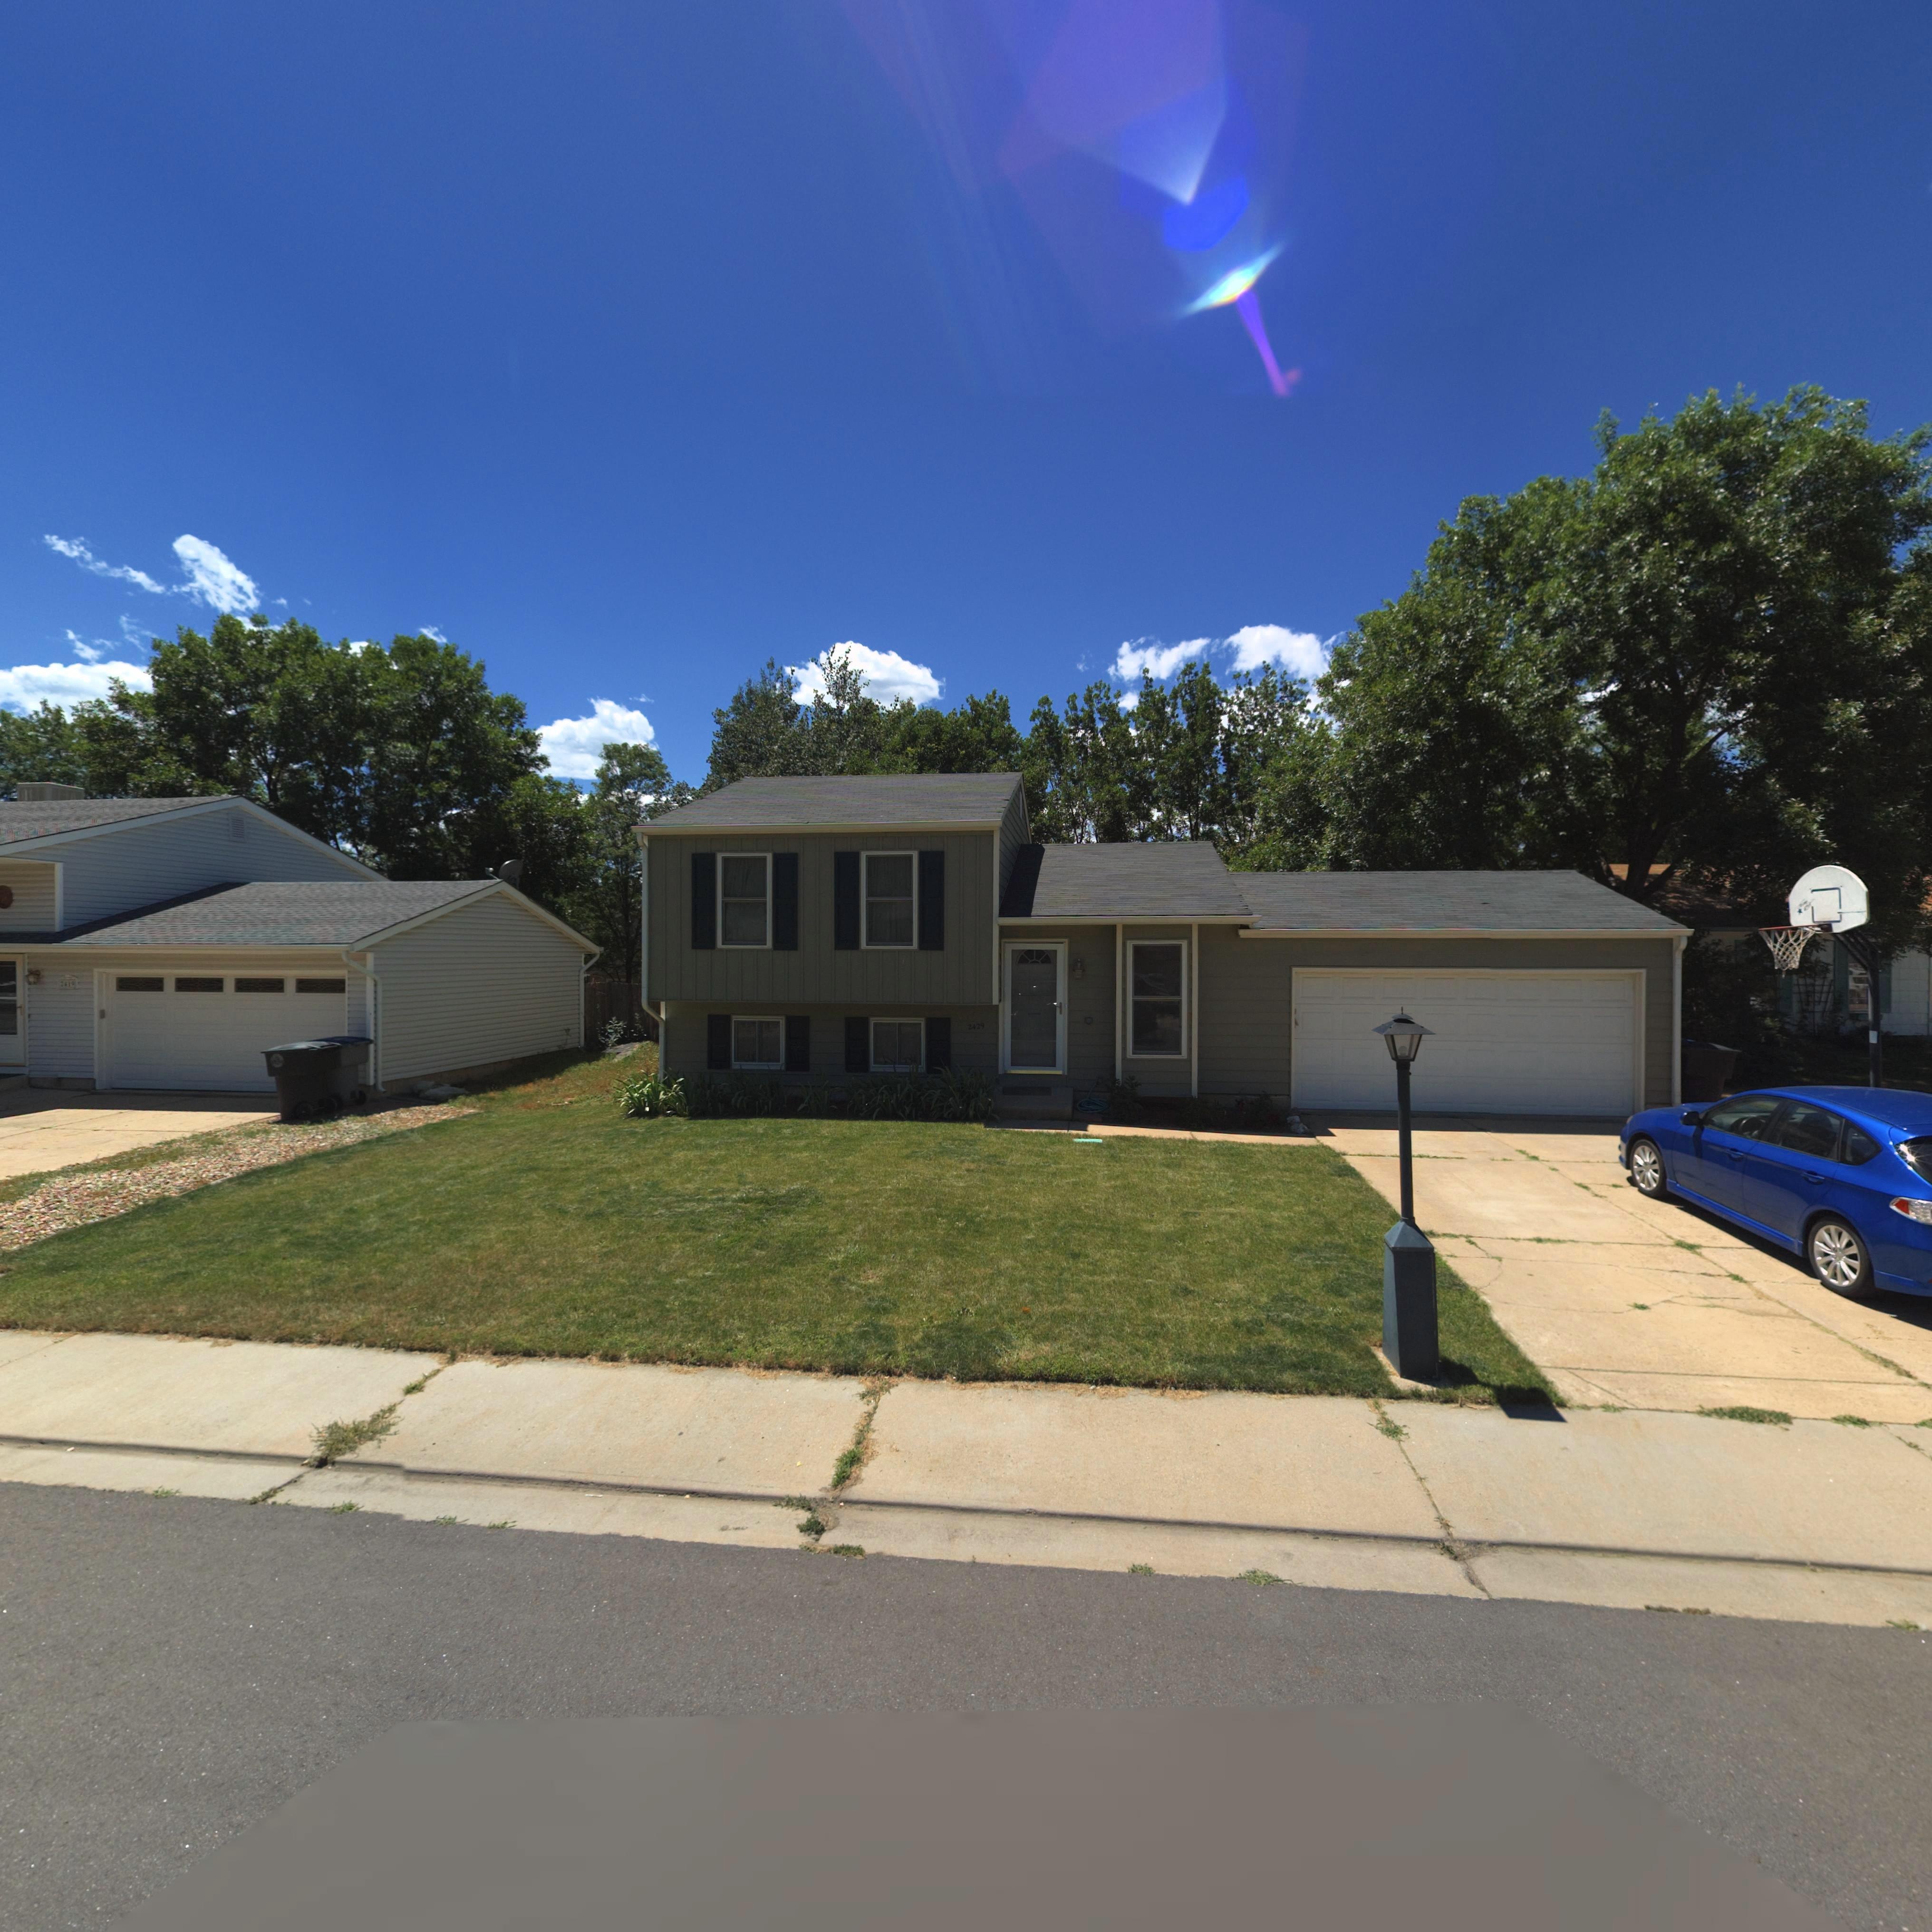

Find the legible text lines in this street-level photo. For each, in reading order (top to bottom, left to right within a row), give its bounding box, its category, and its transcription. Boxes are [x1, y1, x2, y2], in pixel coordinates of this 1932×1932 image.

[59, 981, 75, 987] StreetNumber: 2419
[967, 1022, 985, 1031] StreetNumber: 2429